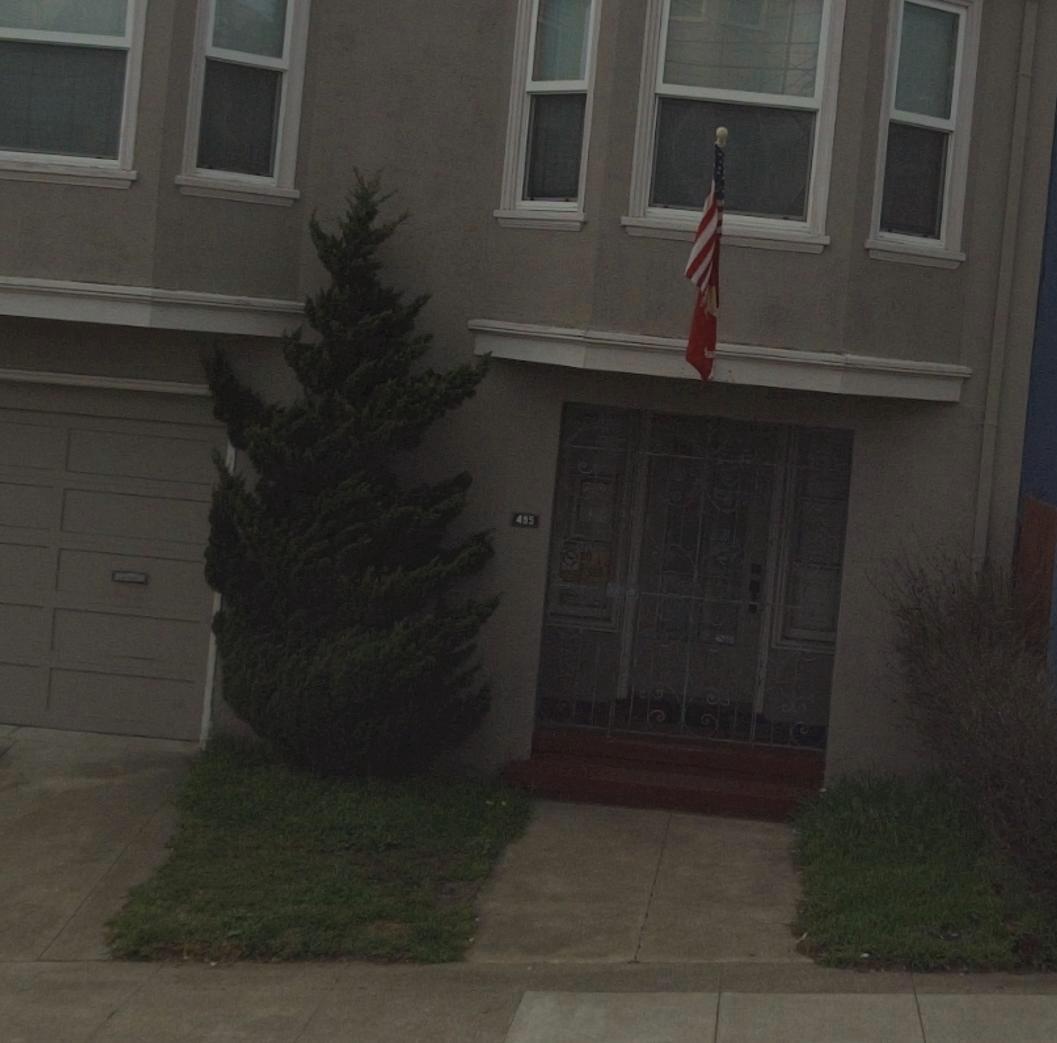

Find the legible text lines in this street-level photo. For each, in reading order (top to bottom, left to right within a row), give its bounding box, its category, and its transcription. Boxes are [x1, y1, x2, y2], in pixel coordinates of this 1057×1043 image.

[513, 513, 535, 526] StreetNumber: 495